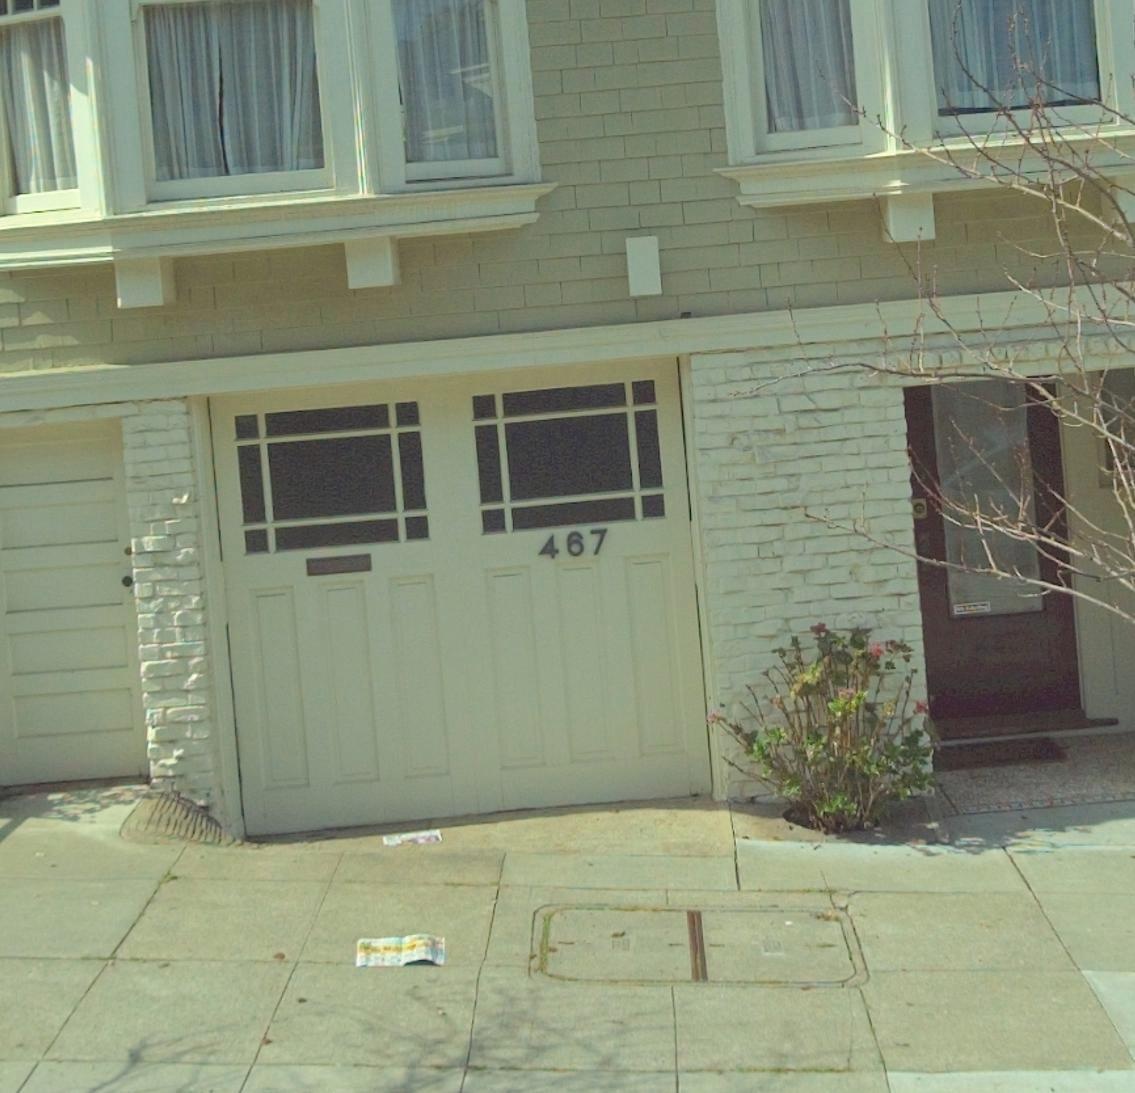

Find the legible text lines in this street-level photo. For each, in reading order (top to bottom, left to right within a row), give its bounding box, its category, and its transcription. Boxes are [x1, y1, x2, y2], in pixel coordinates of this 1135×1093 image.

[534, 525, 612, 562] StreetNumber: 467